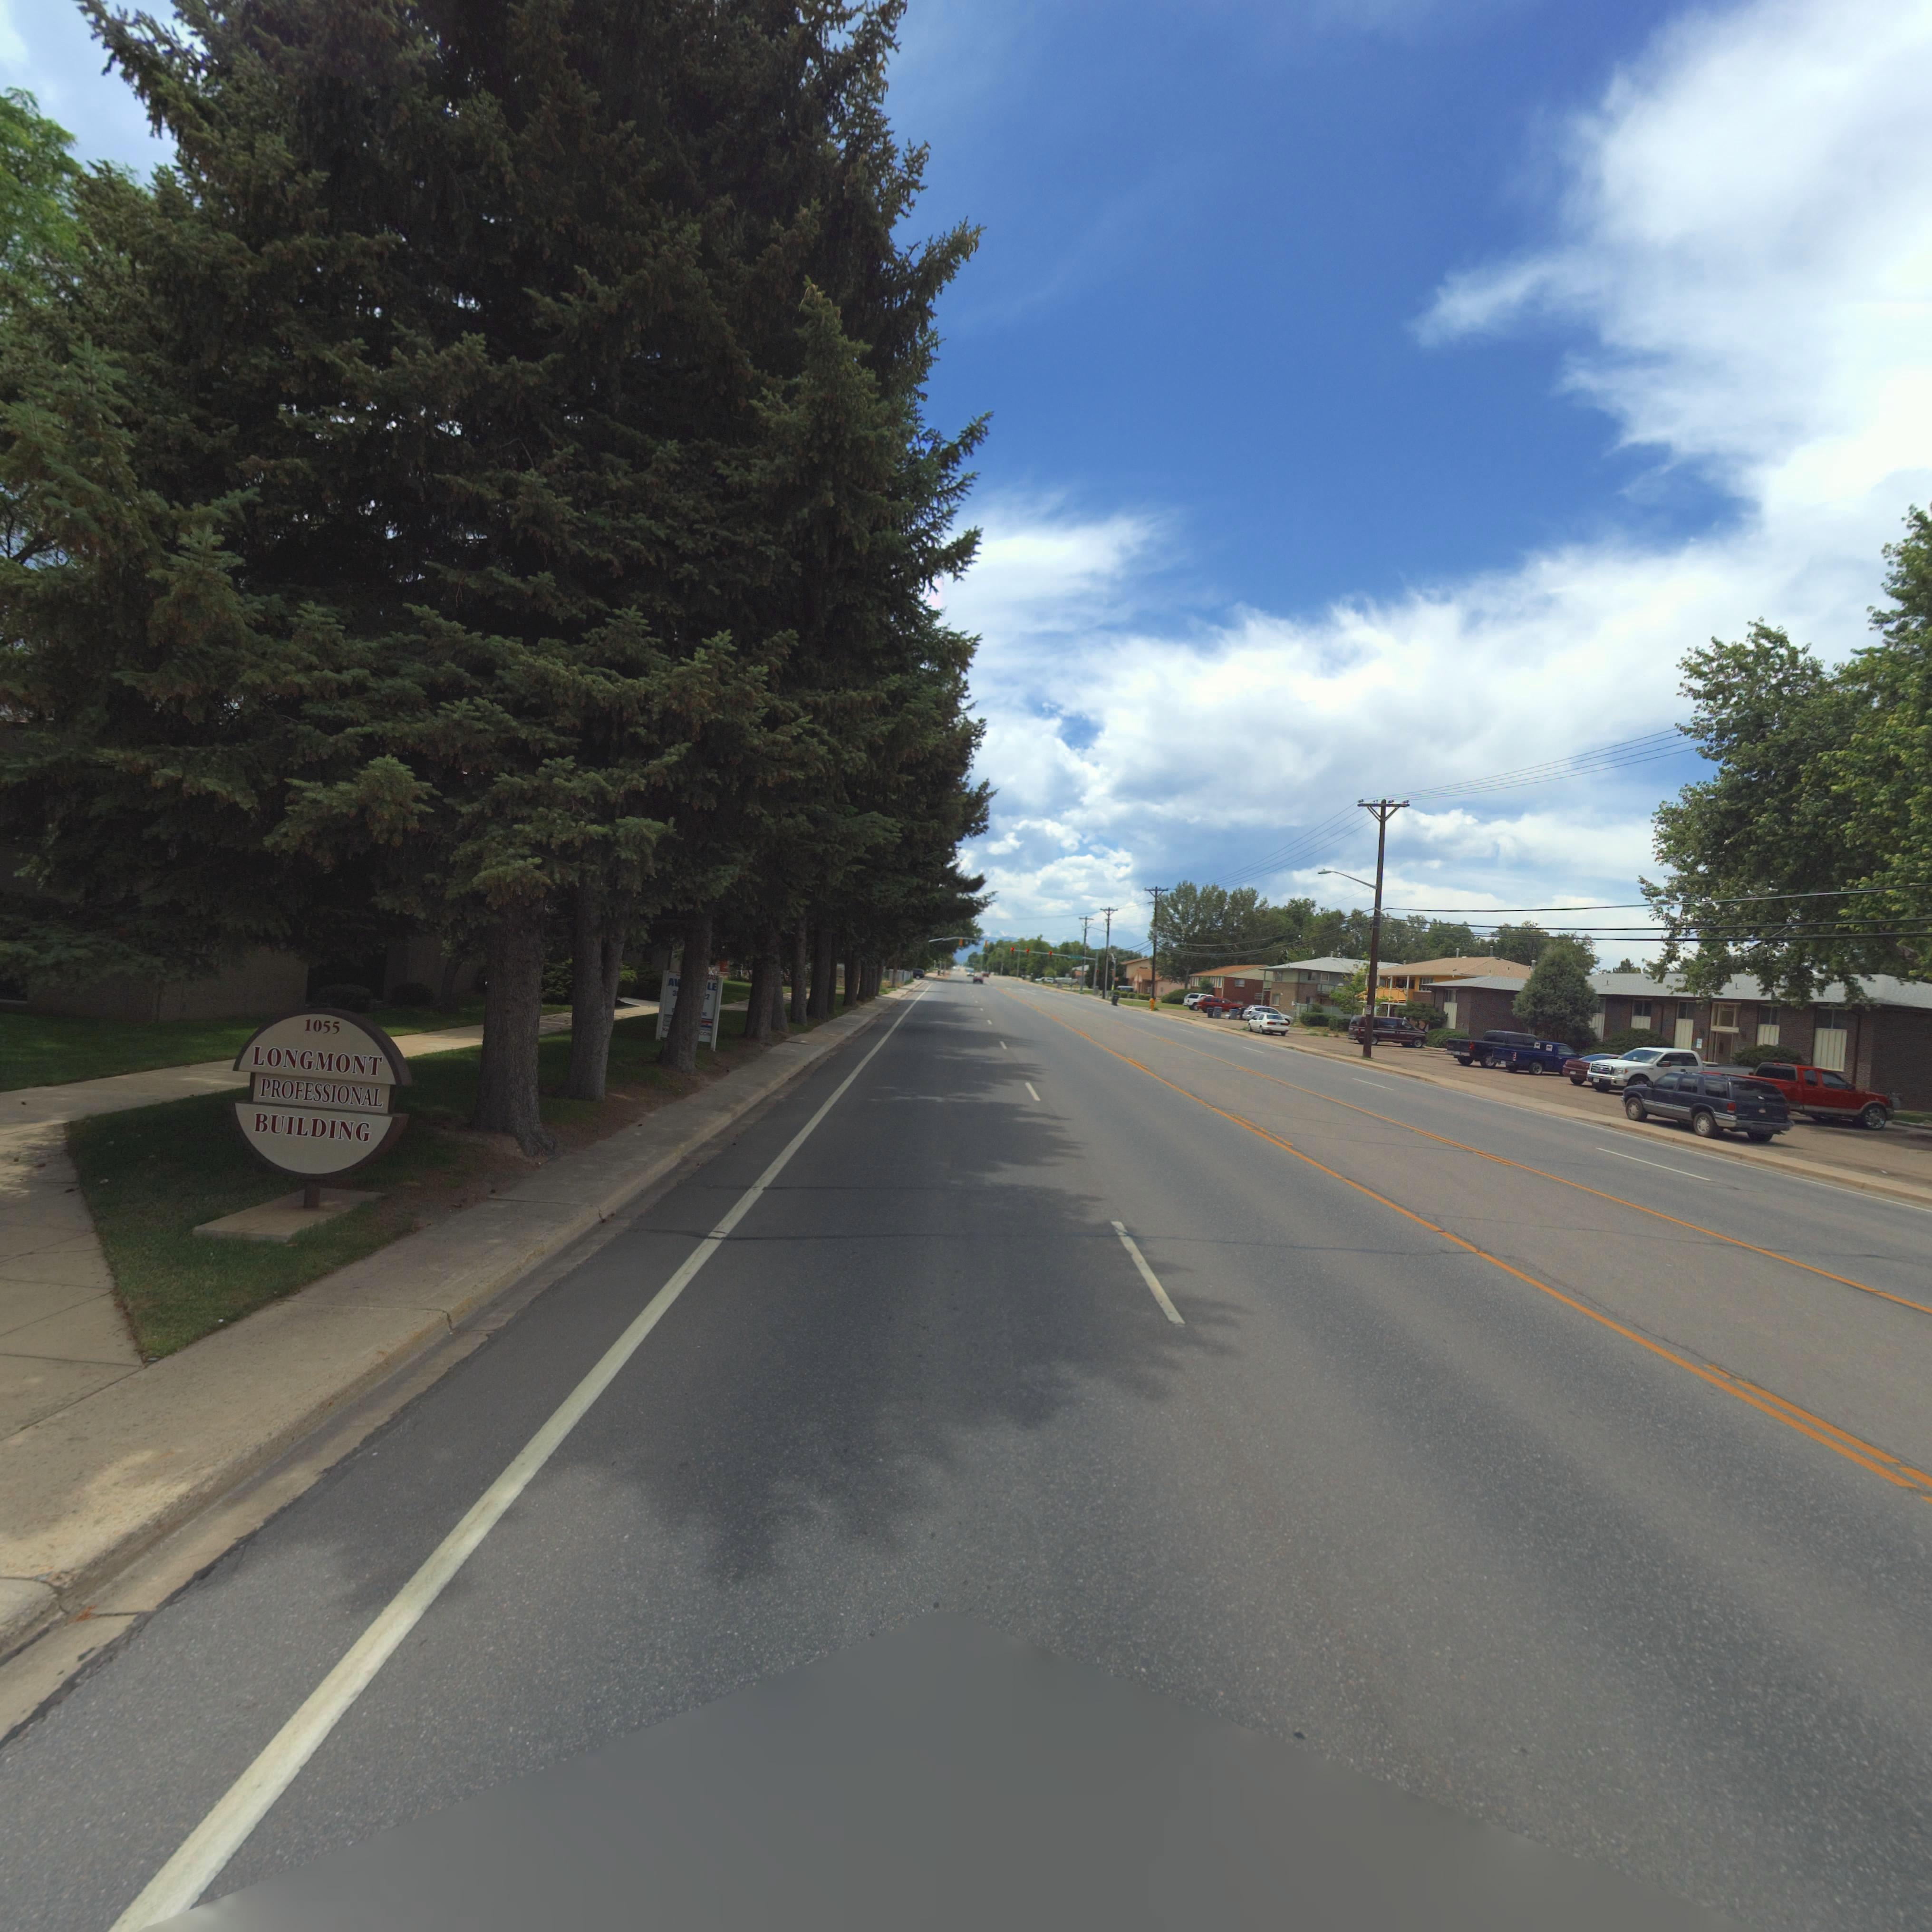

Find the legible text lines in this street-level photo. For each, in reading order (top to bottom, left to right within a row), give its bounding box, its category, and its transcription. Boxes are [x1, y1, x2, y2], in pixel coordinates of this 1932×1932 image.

[303, 1018, 341, 1035] StreetNumber: 1055
[250, 1044, 384, 1077] BusinessName: LONGMONT
[260, 1077, 384, 1107] BusinessName: PROFESSIONAL
[253, 1111, 371, 1143] BusinessName: BUILDING